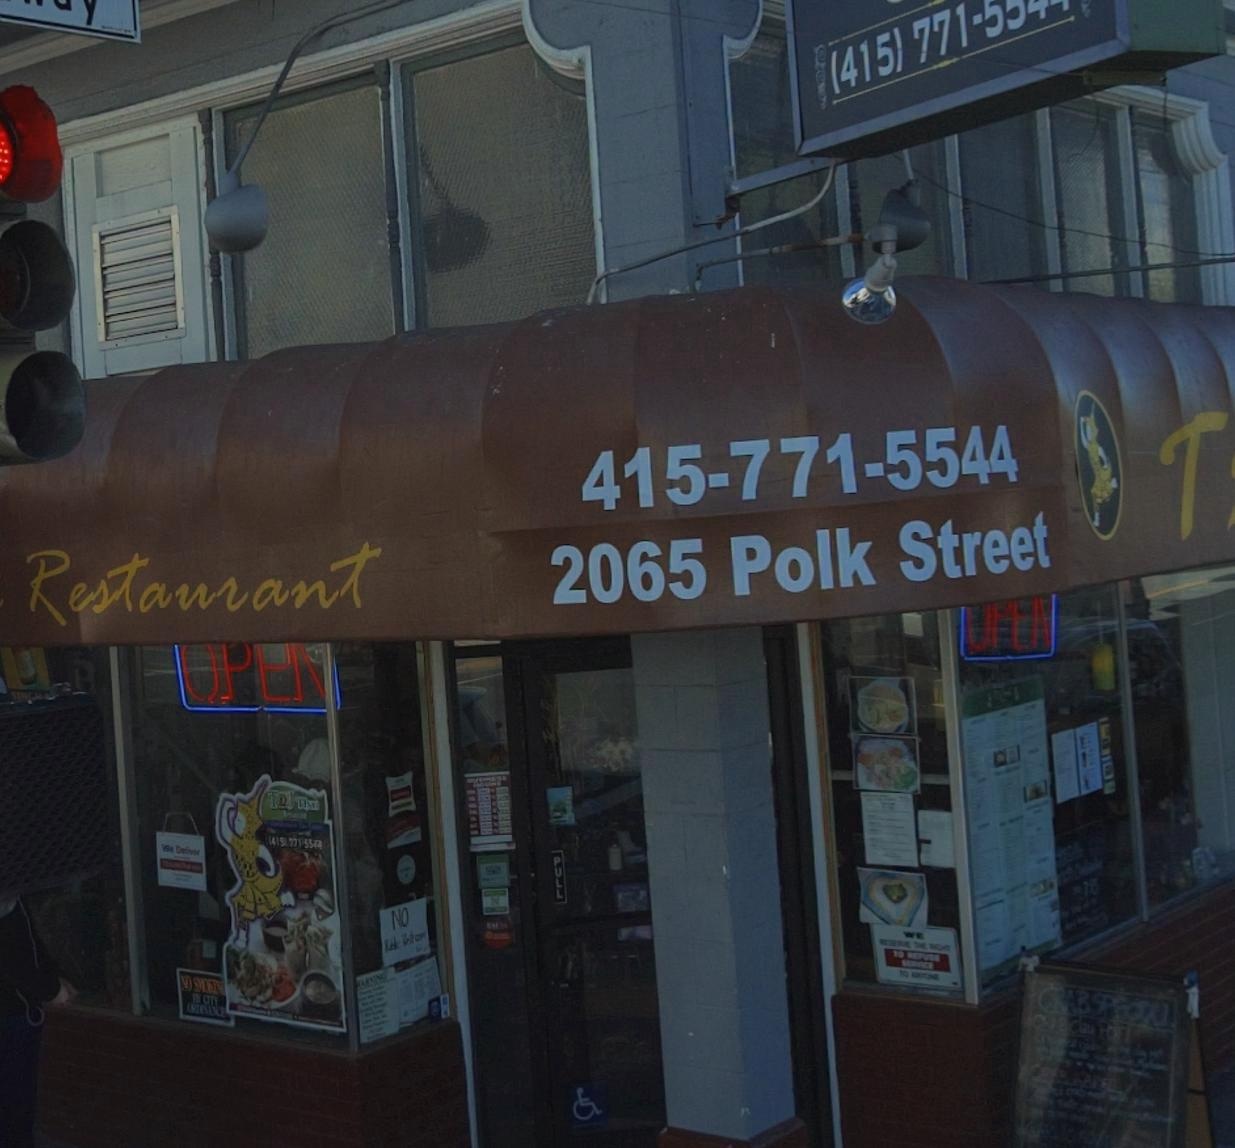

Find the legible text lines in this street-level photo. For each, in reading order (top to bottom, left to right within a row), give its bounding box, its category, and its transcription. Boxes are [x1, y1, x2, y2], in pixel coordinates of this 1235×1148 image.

[838, 0, 971, 88] None: 415) 771
[576, 423, 1023, 513] None: 415-771-5544
[1158, 408, 1231, 546] BusinessName: T
[24, 539, 384, 628] None: Restaurant
[549, 535, 711, 608] StreetNumber: 2065
[728, 508, 1055, 597] StreetName: Polk Street
[270, 835, 323, 850] None: 415) 771-5544
[552, 855, 566, 901] None: PULL
[389, 904, 411, 932] None: NO
[900, 930, 926, 942] None: WE
[180, 974, 212, 997] None: NO SMO
[1034, 984, 1176, 1034] None: CRAB SPECIAL